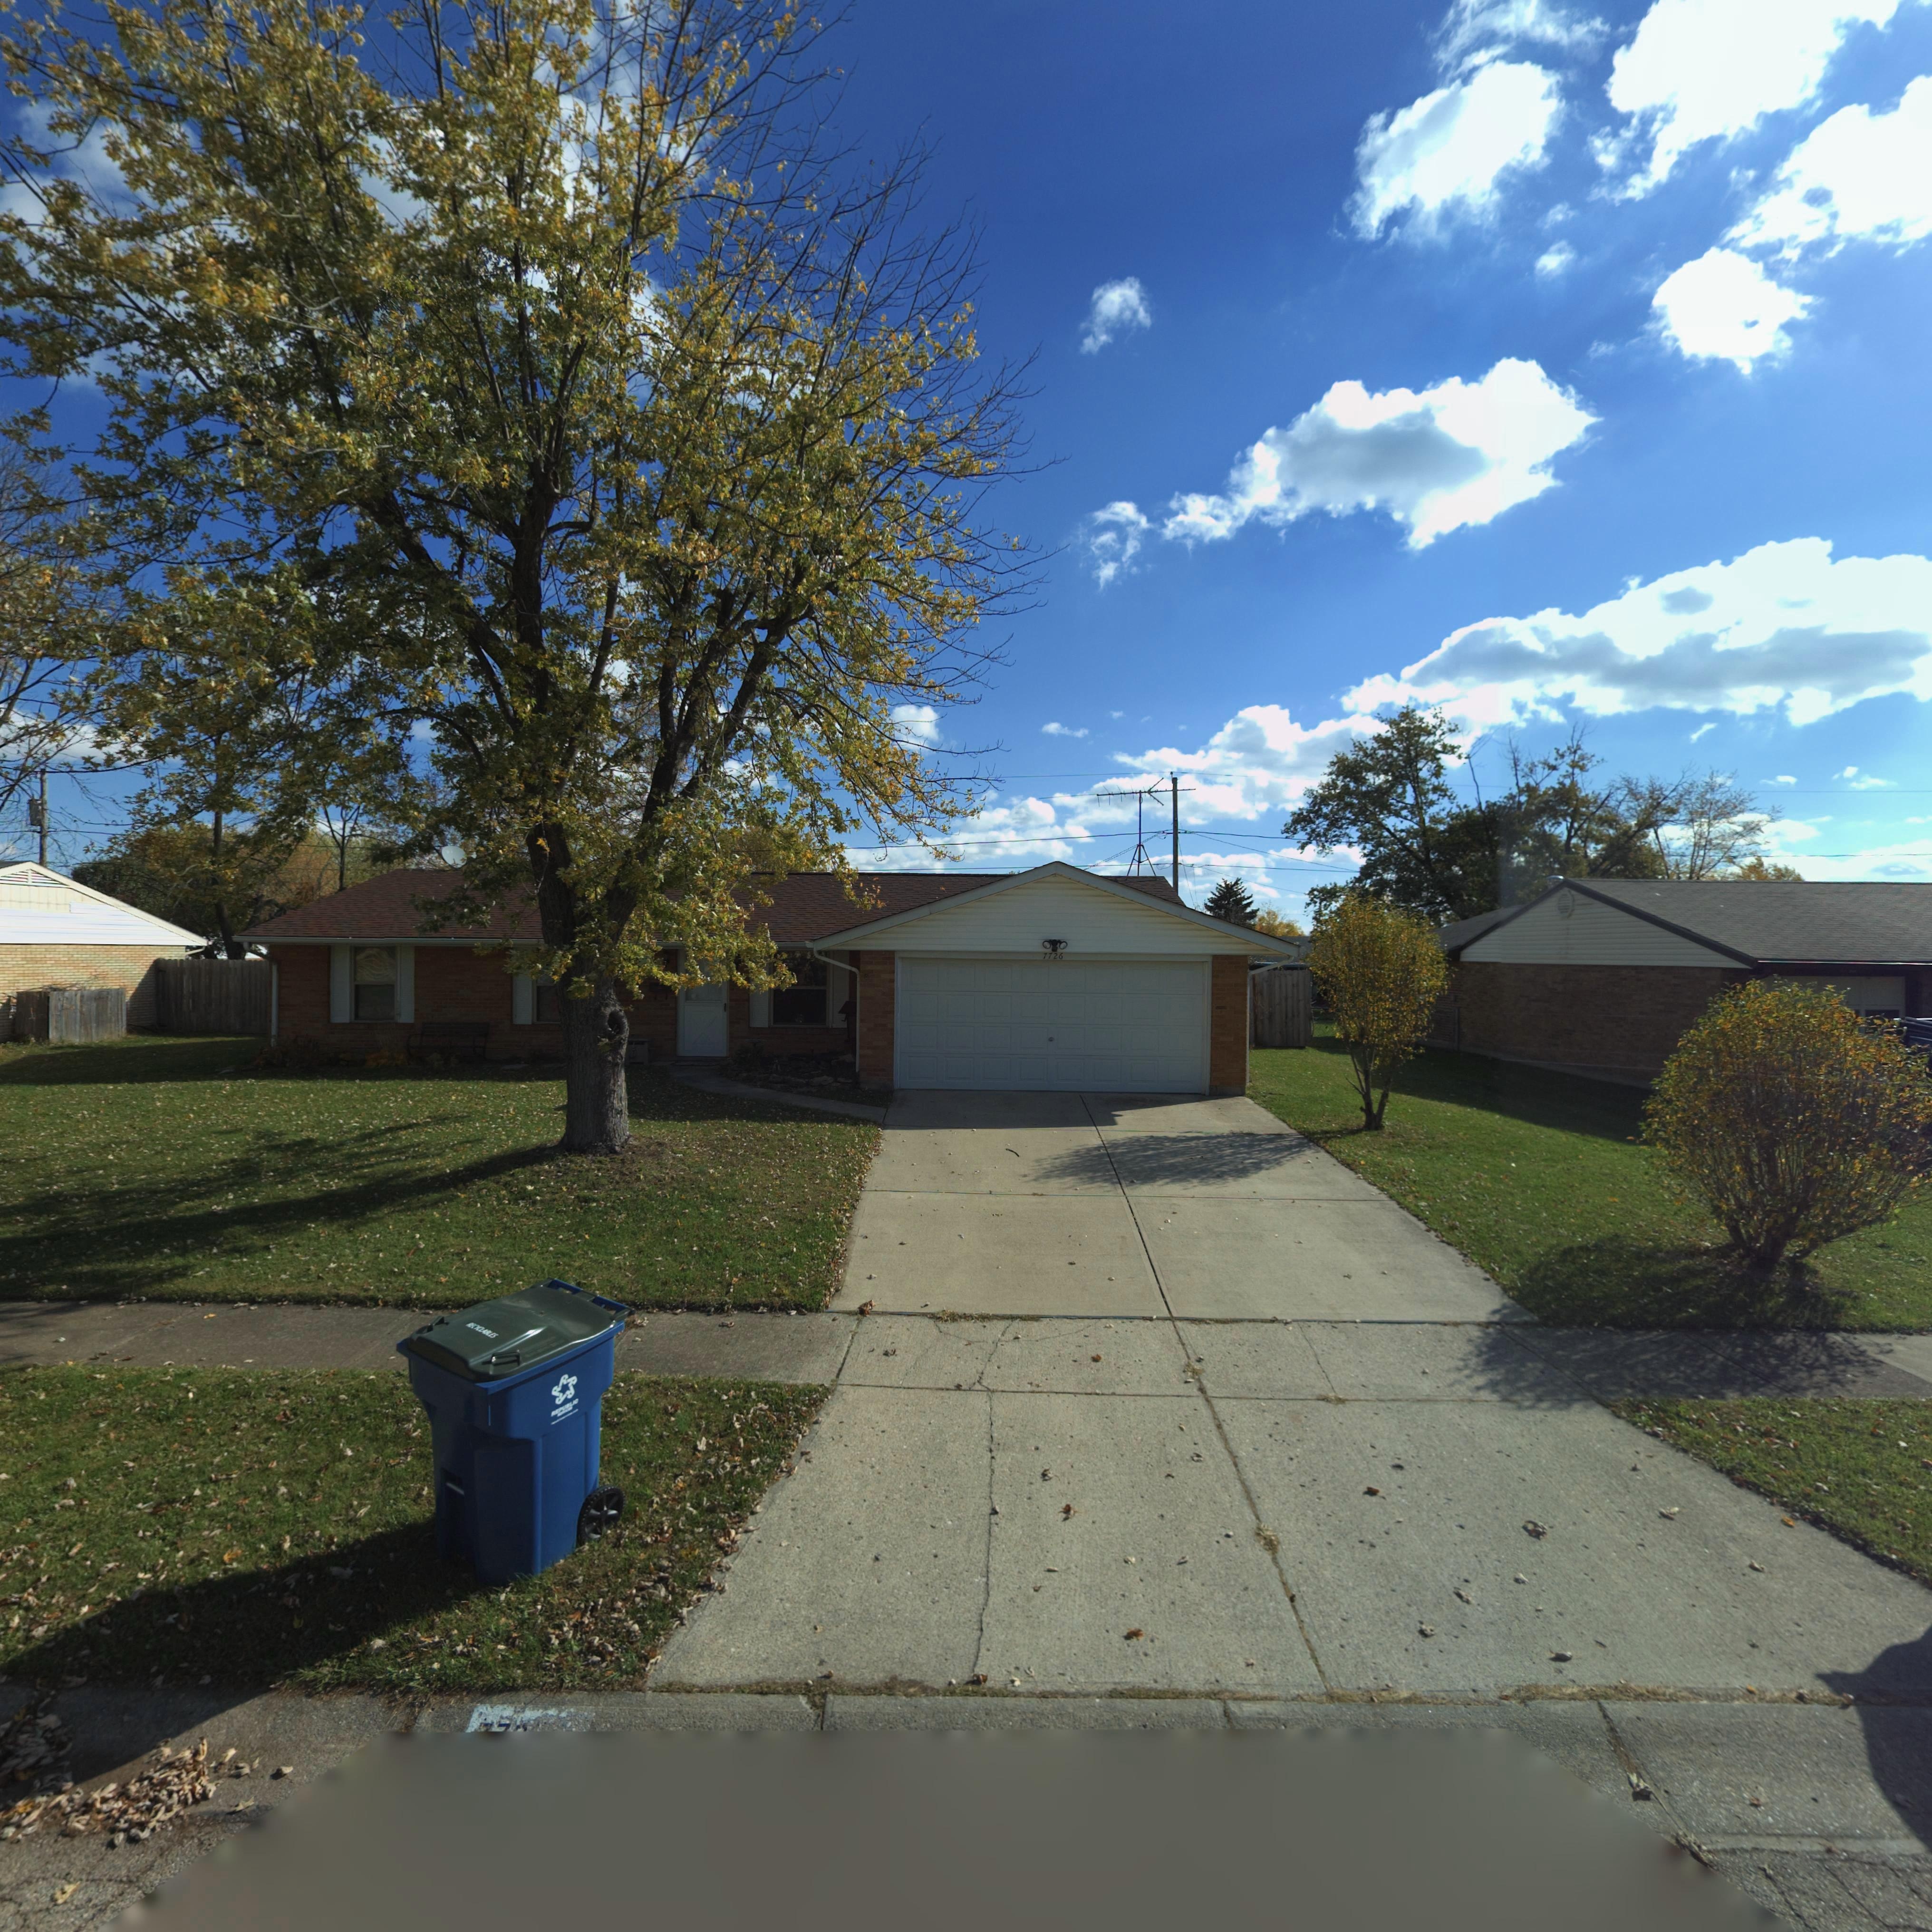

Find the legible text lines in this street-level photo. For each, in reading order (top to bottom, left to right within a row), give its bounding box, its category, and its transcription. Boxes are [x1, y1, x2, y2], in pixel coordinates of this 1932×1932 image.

[1042, 952, 1064, 961] StreetNumber: 7726